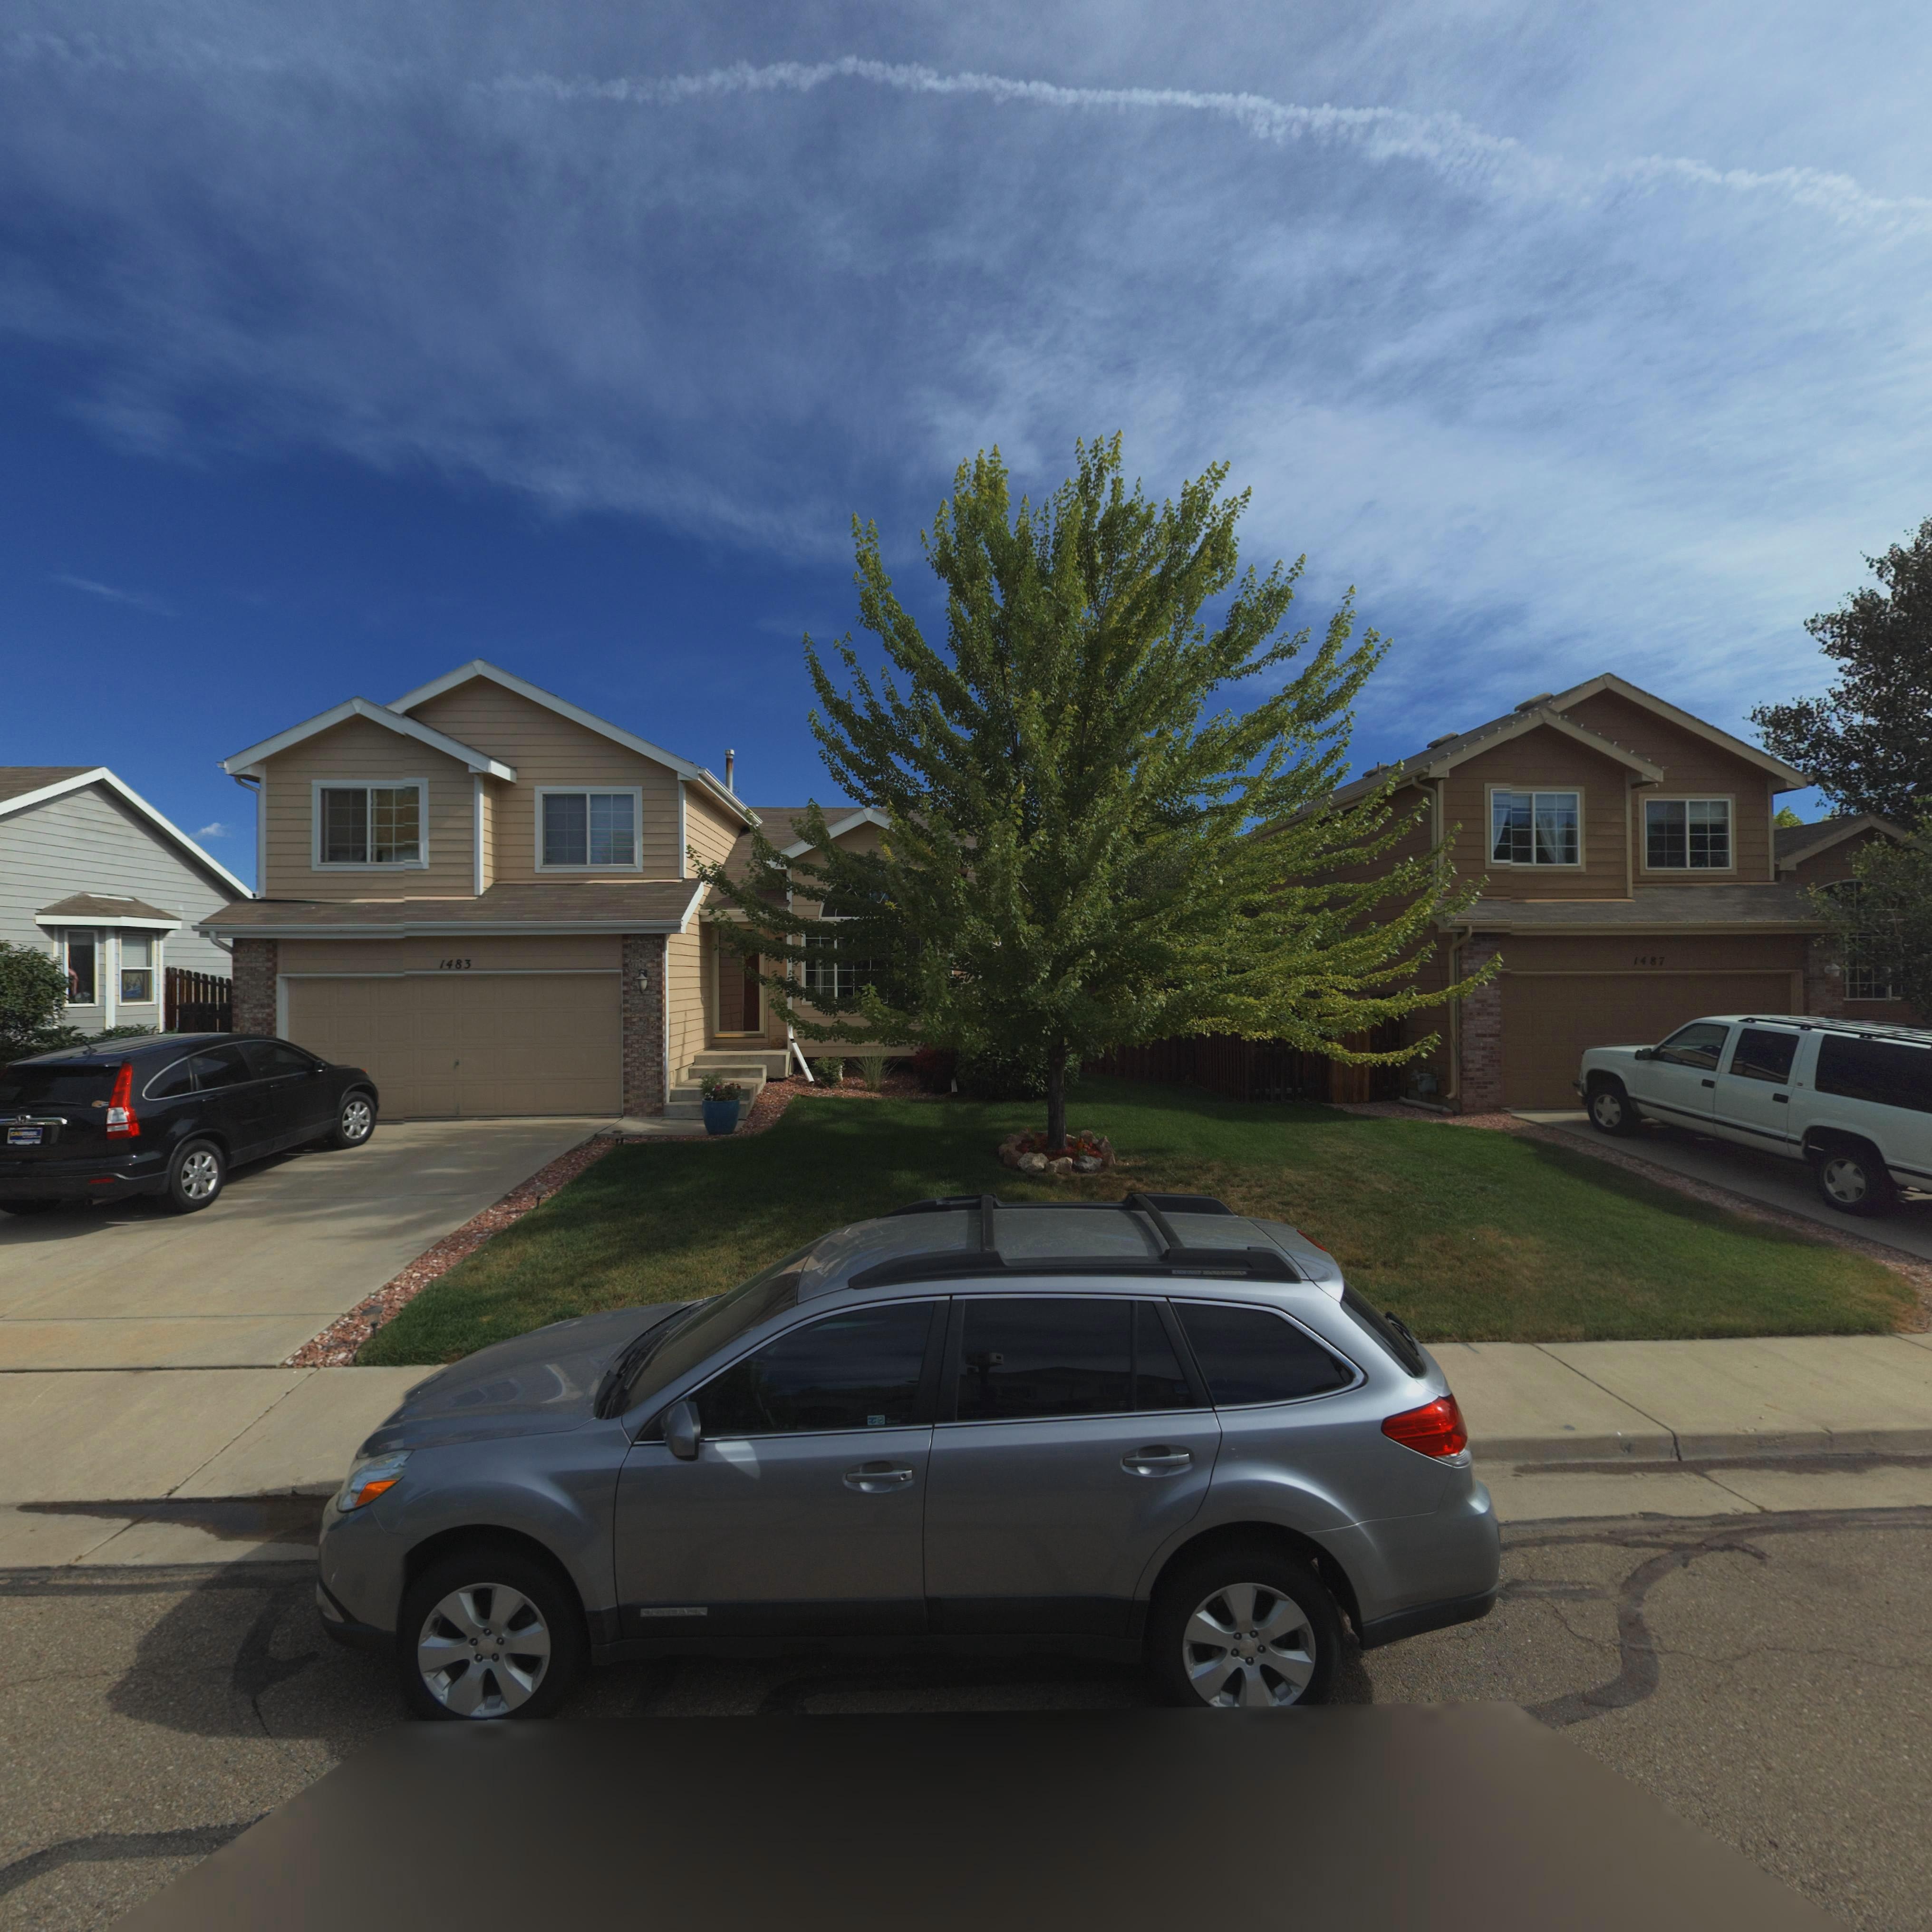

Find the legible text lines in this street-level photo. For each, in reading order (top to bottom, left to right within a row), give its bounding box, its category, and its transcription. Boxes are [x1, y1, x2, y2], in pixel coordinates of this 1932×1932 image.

[438, 959, 471, 969] StreetNumber: 1483
[1633, 955, 1666, 966] StreetNumber: 1487